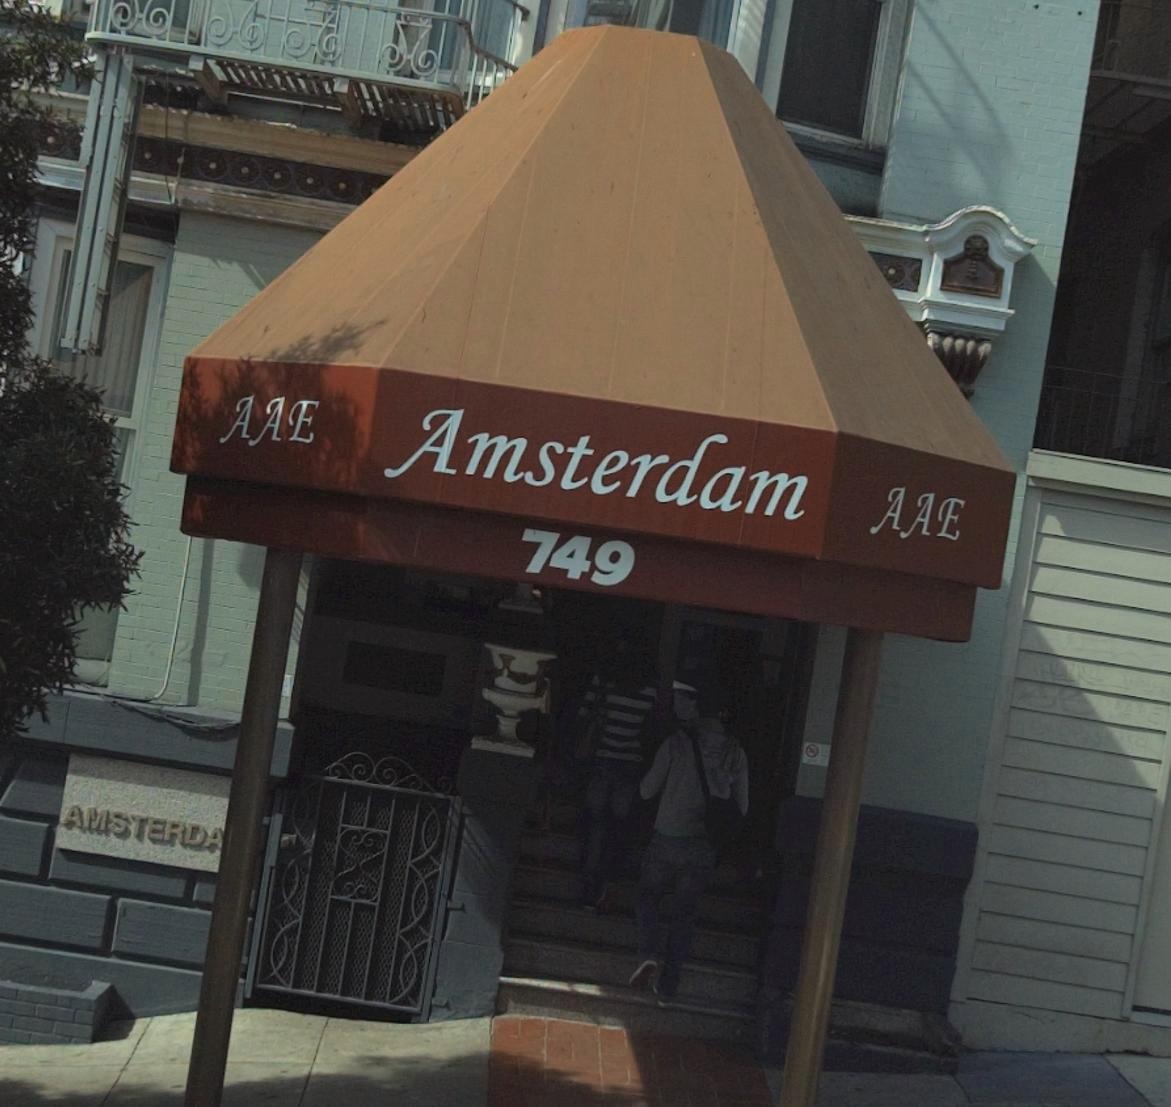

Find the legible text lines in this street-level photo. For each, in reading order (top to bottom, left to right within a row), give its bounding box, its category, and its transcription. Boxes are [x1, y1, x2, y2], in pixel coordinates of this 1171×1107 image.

[212, 385, 328, 453] BusinessName: AAE
[354, 395, 832, 535] BusinessName: Amsterdam
[863, 478, 975, 548] BusinessName: AAE
[514, 522, 648, 594] StreetNumber: 749
[56, 801, 229, 856] BusinessName: AMSTERDA